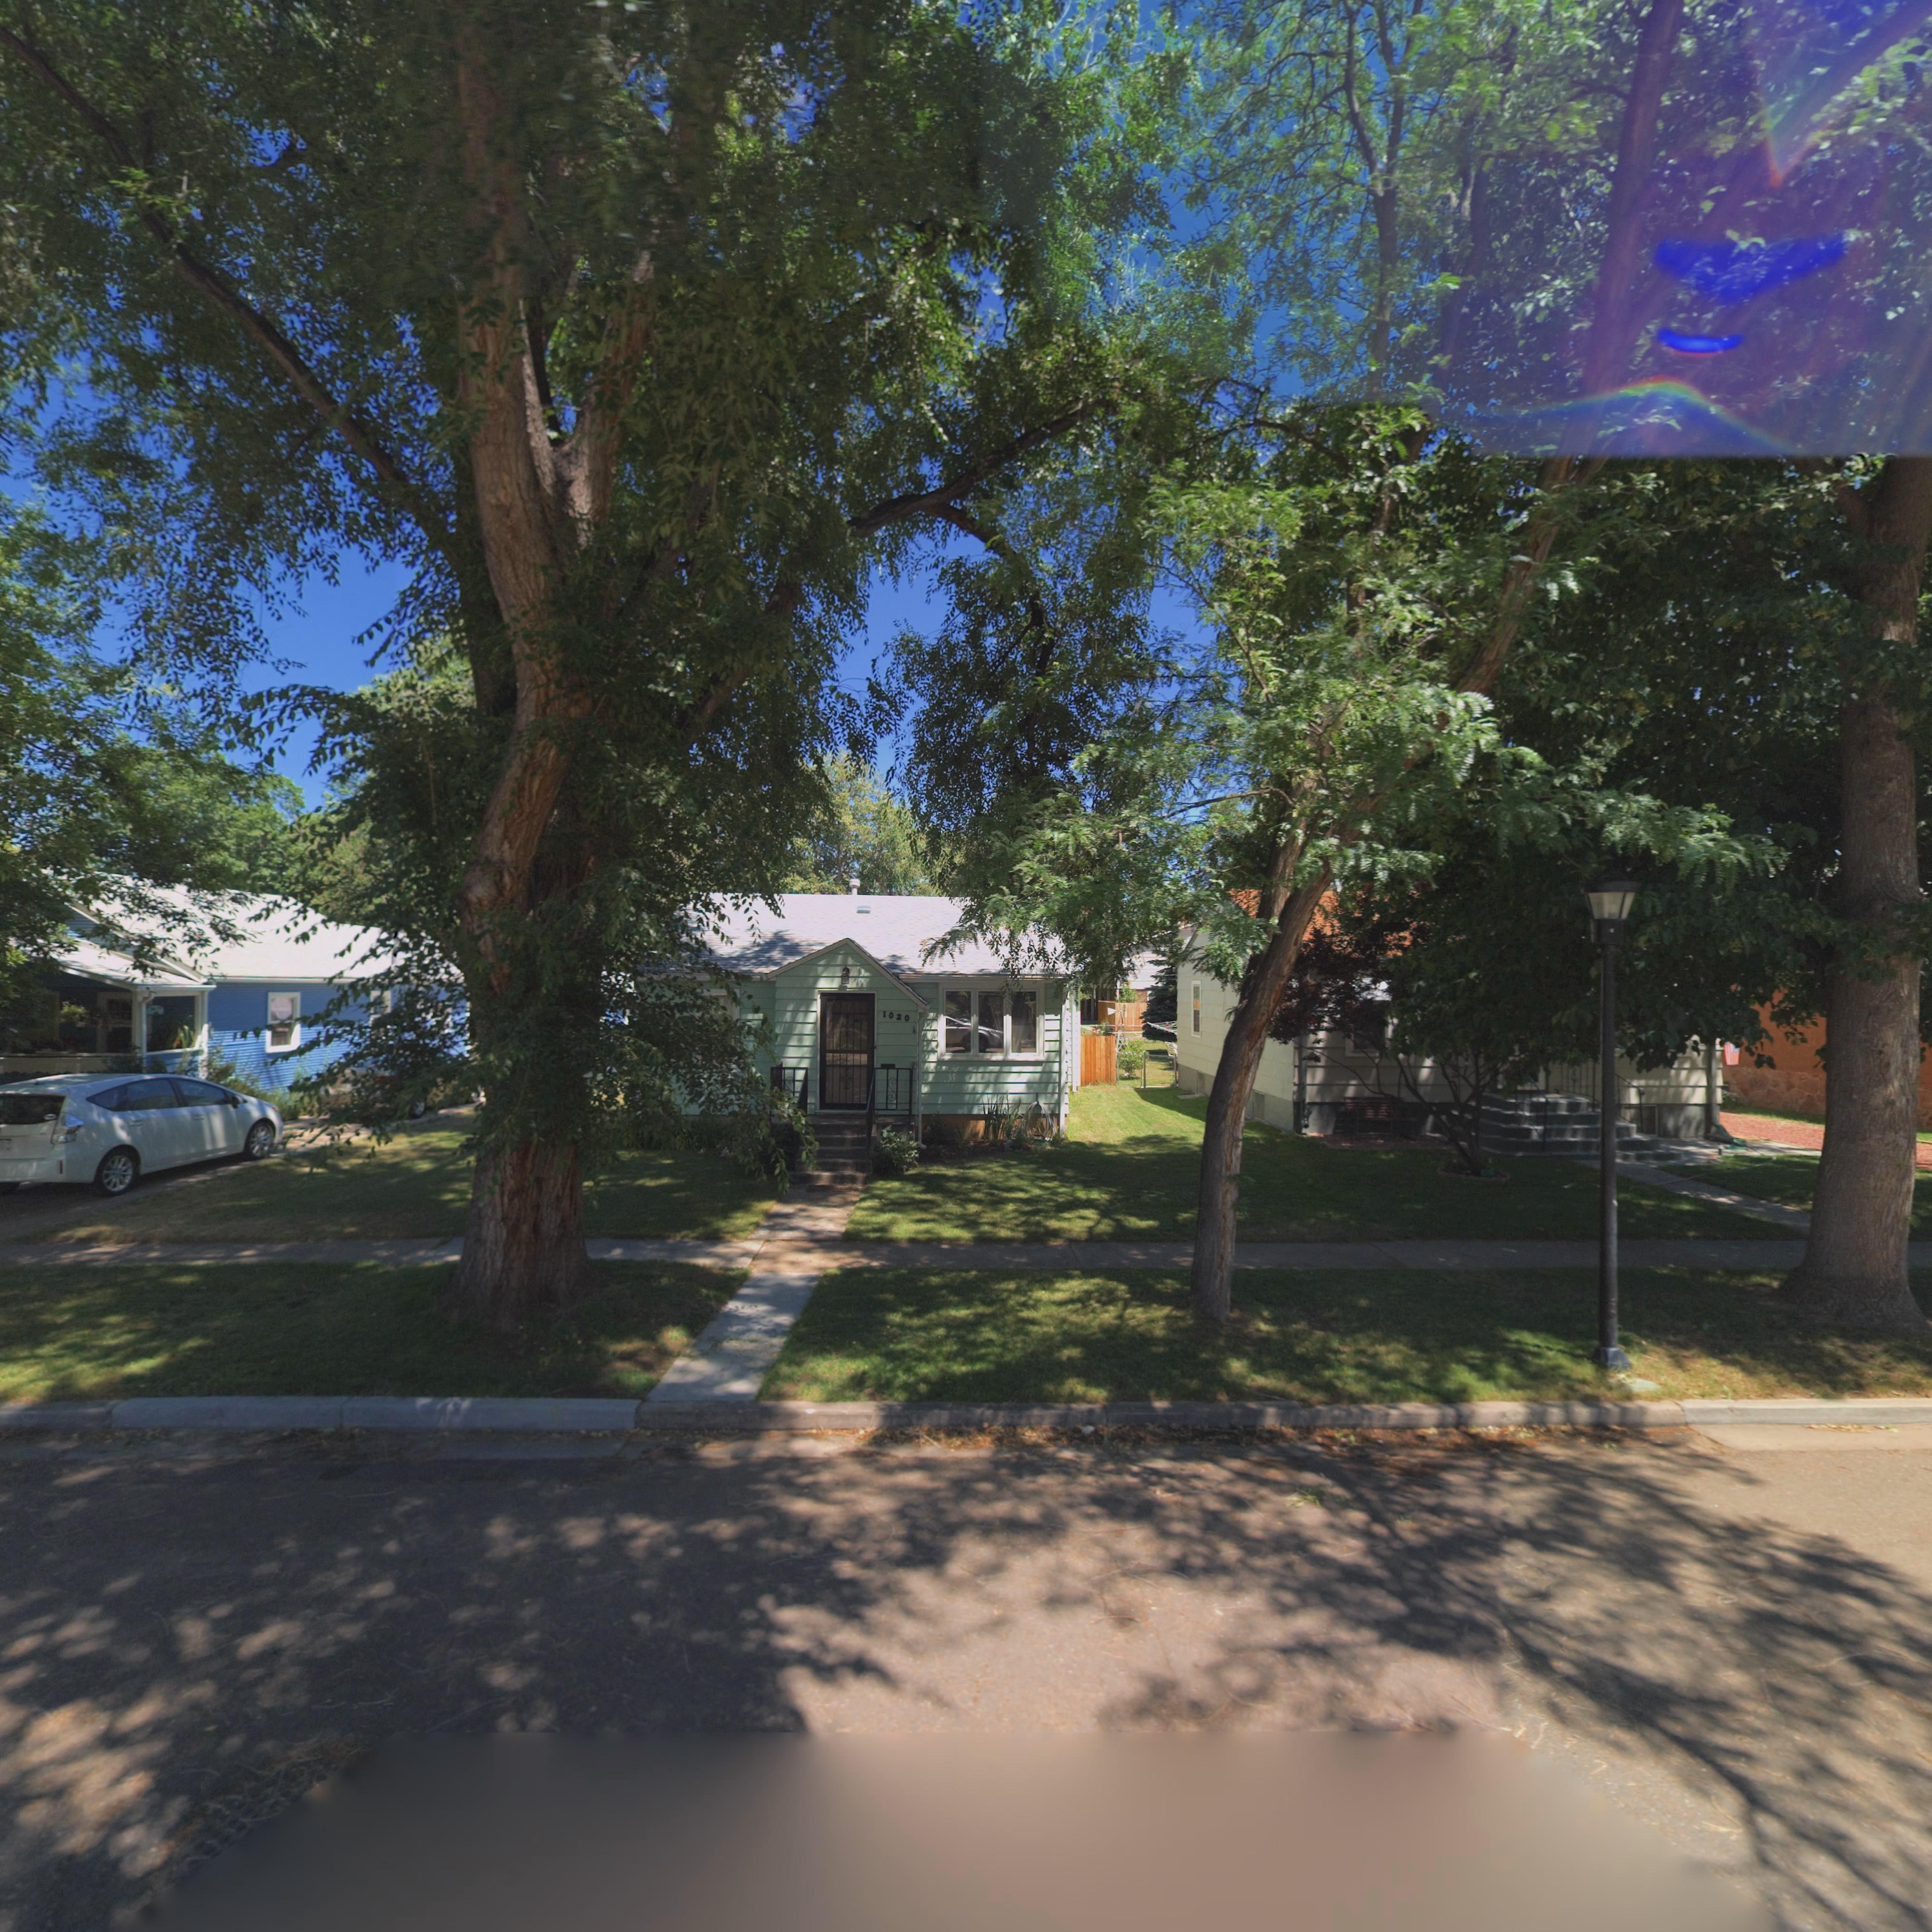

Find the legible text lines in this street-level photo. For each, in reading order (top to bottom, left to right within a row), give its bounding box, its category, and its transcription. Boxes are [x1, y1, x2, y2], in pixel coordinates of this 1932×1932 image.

[882, 1009, 910, 1022] StreetNumber: 1020